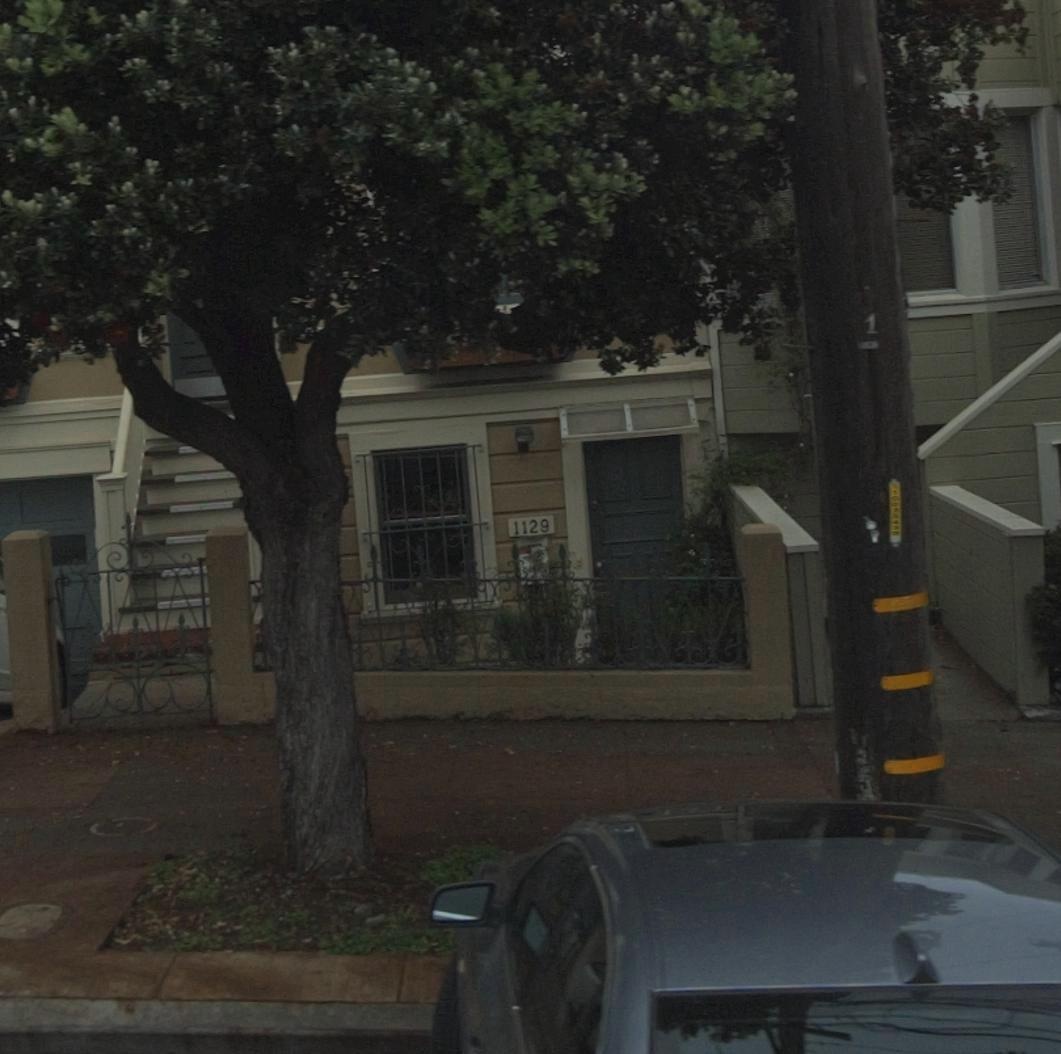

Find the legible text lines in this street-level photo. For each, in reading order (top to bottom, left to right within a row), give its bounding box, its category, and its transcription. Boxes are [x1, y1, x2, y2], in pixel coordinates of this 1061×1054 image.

[864, 313, 880, 335] None: 1
[891, 482, 900, 536] None: 110043400
[512, 519, 550, 535] StreetNumber: 1129